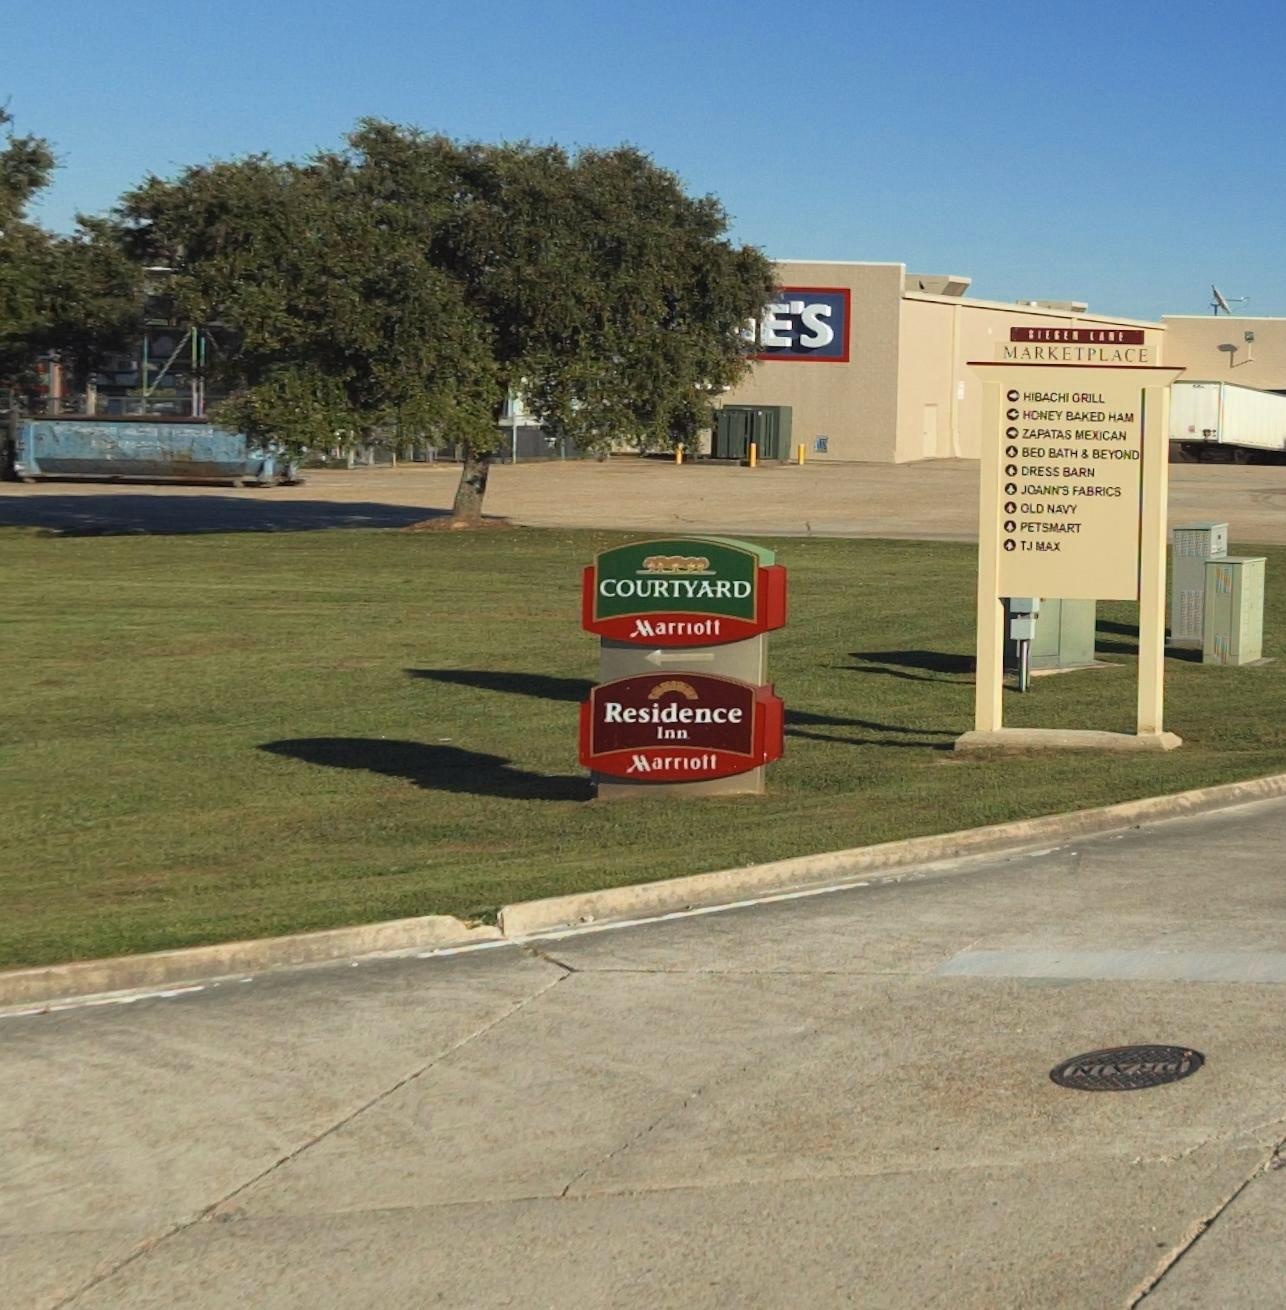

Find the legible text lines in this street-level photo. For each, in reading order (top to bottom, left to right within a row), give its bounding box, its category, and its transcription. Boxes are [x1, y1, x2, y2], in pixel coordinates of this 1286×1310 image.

[758, 299, 835, 350] BusinessName: E'S
[1027, 328, 1125, 343] BusinessName: SIEGEN LANE
[1002, 343, 1149, 364] BusinessName: MARKETPLACE
[1022, 390, 1106, 405] BusinessName: HIBACHI GRILL
[1022, 409, 1134, 424] BusinessName: HONEY BAKED HAM
[1021, 426, 1127, 442] BusinessName: ZAPATAS MEXICAN
[1021, 446, 1140, 460] BusinessName: BED BATH & BEYOND
[1020, 465, 1096, 479] BusinessName: DRESS BARN
[1020, 484, 1123, 498] BusinessName: JOANN'S FABRICS
[1020, 502, 1079, 516] BusinessName: OLD NAVY
[1019, 520, 1083, 535] BusinessName: PETSMART
[1019, 539, 1063, 553] BusinessName: TJ MAX
[598, 577, 754, 600] BusinessName: COURTYARD
[628, 618, 721, 639] BusinessName: Marriott
[602, 701, 744, 724] BusinessName: Residence
[656, 725, 689, 740] BusinessName: inn
[625, 753, 718, 774] BusinessName: Marriott
[1066, 1060, 1184, 1078] None: NI***